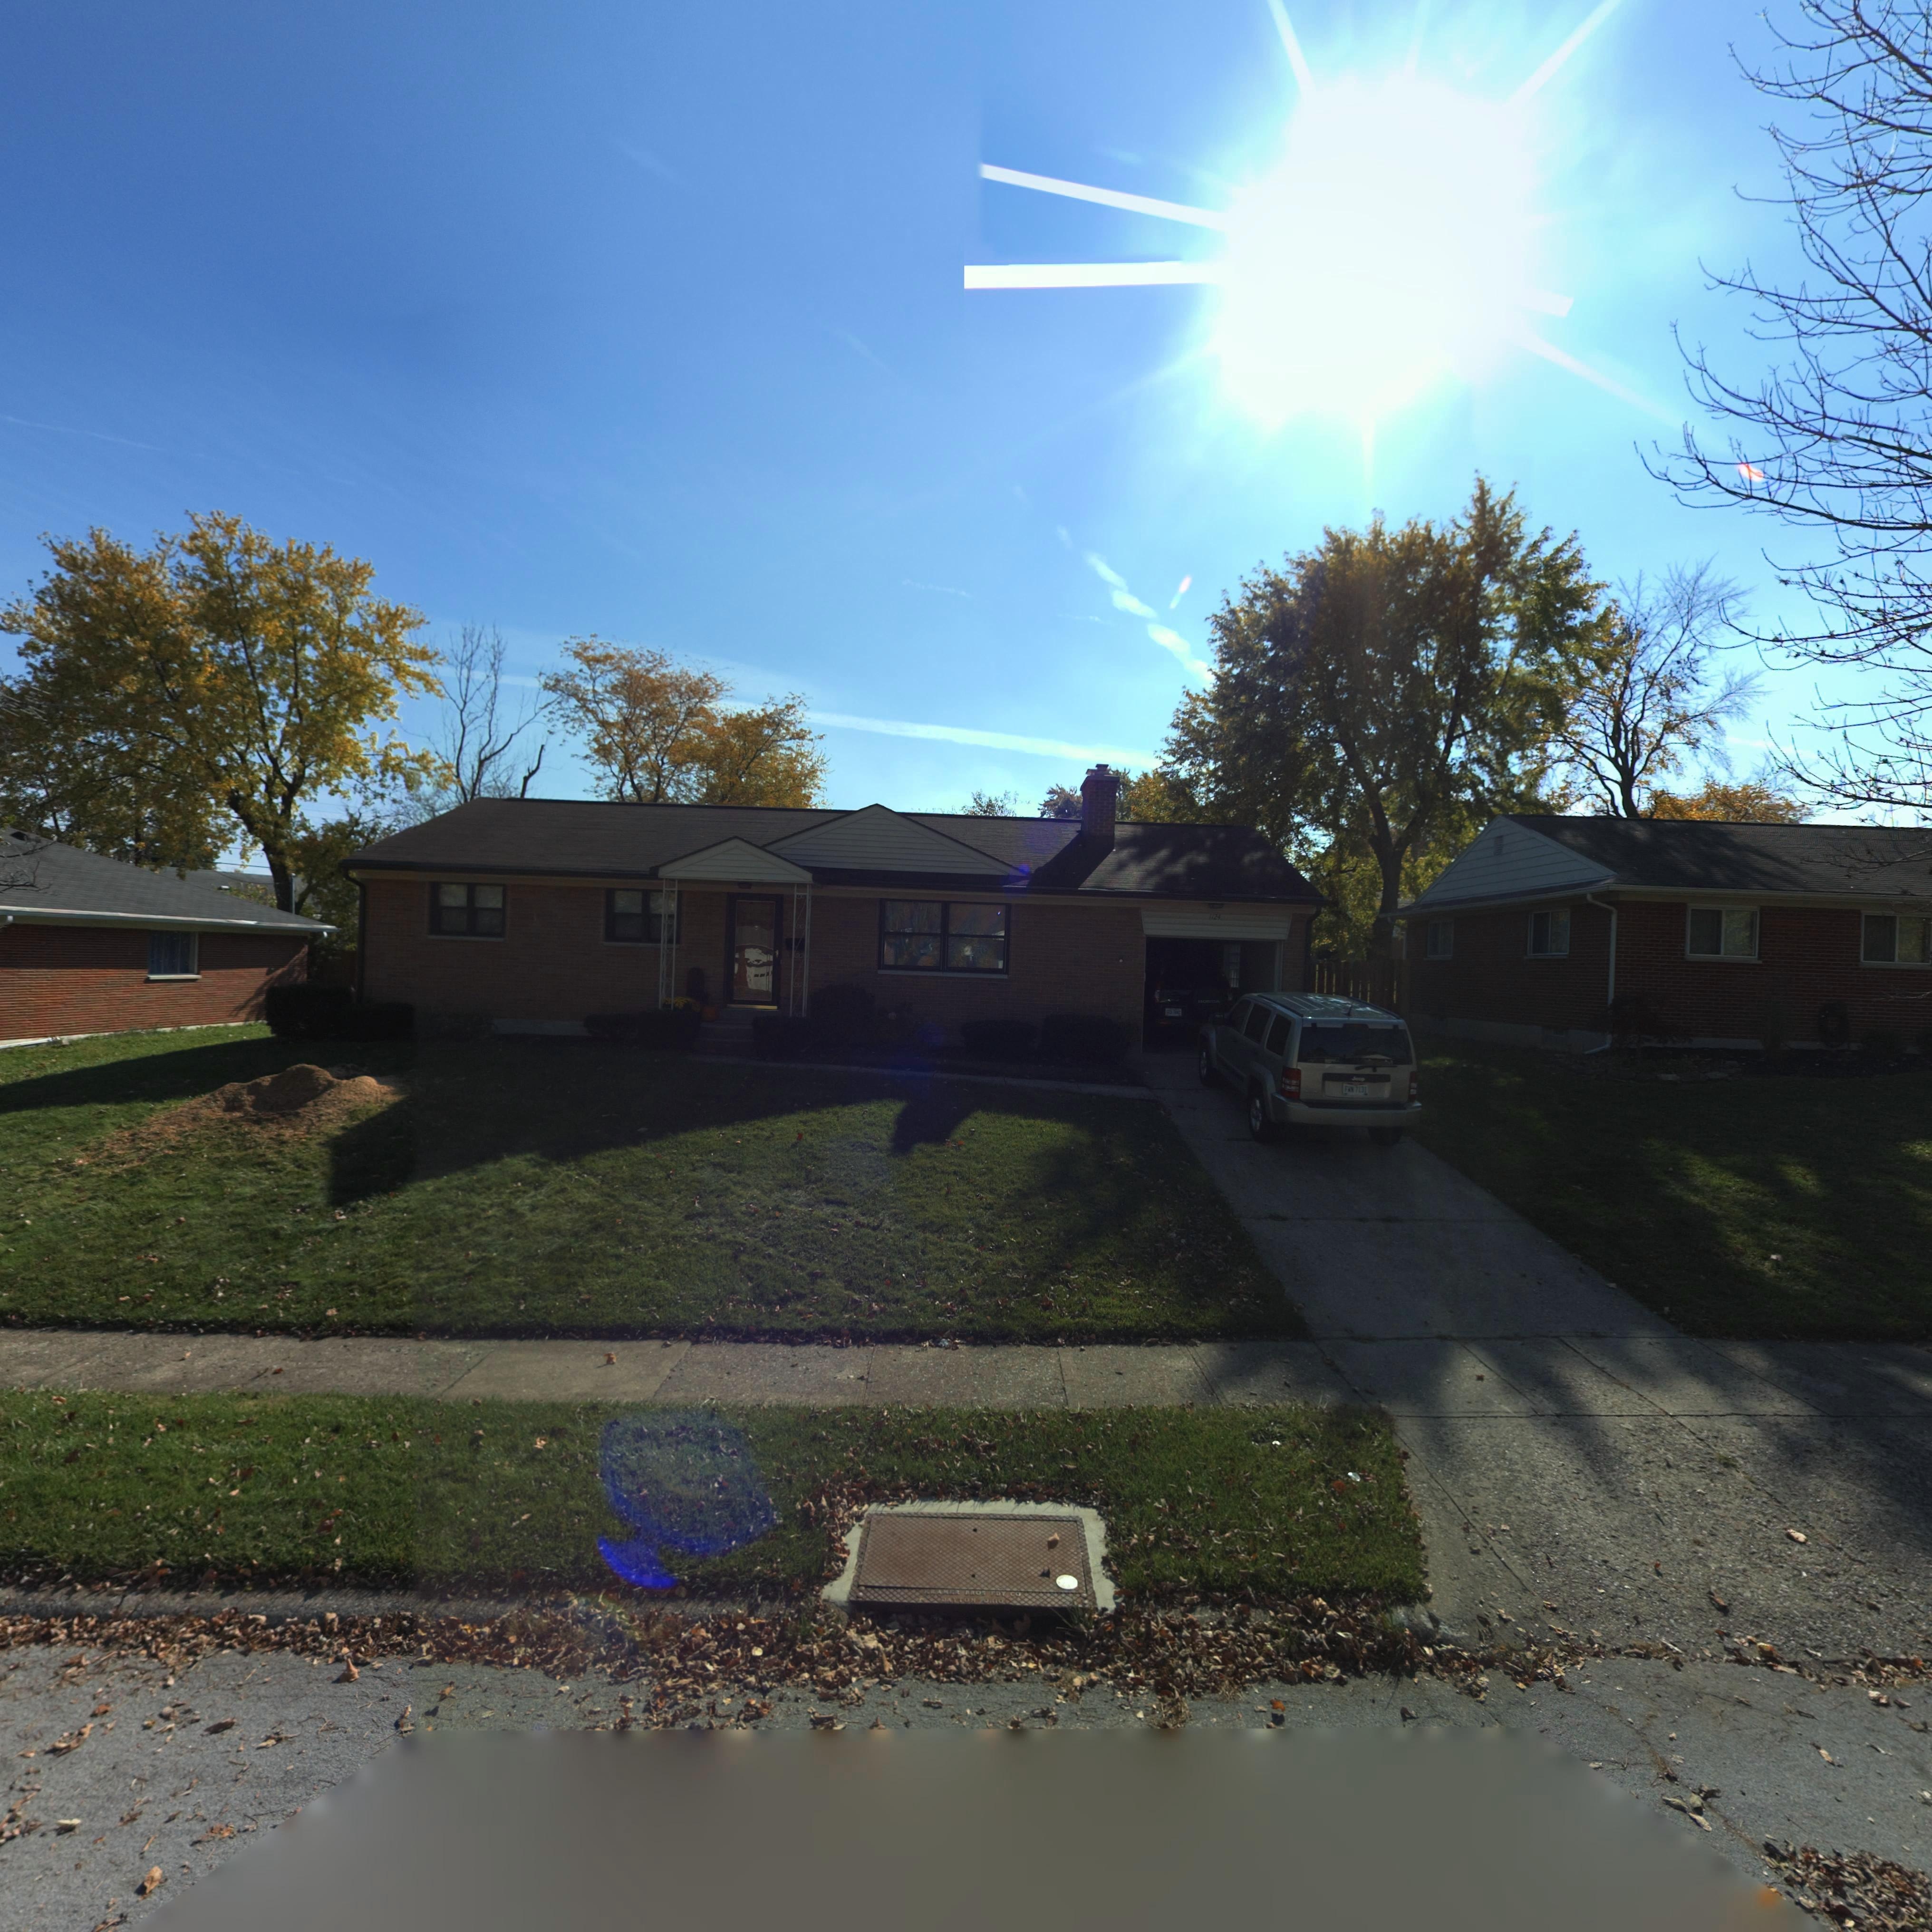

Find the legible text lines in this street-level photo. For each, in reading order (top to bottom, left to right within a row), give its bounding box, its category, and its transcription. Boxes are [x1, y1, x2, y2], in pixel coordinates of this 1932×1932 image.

[1207, 912, 1222, 921] StreetNumber: 1124